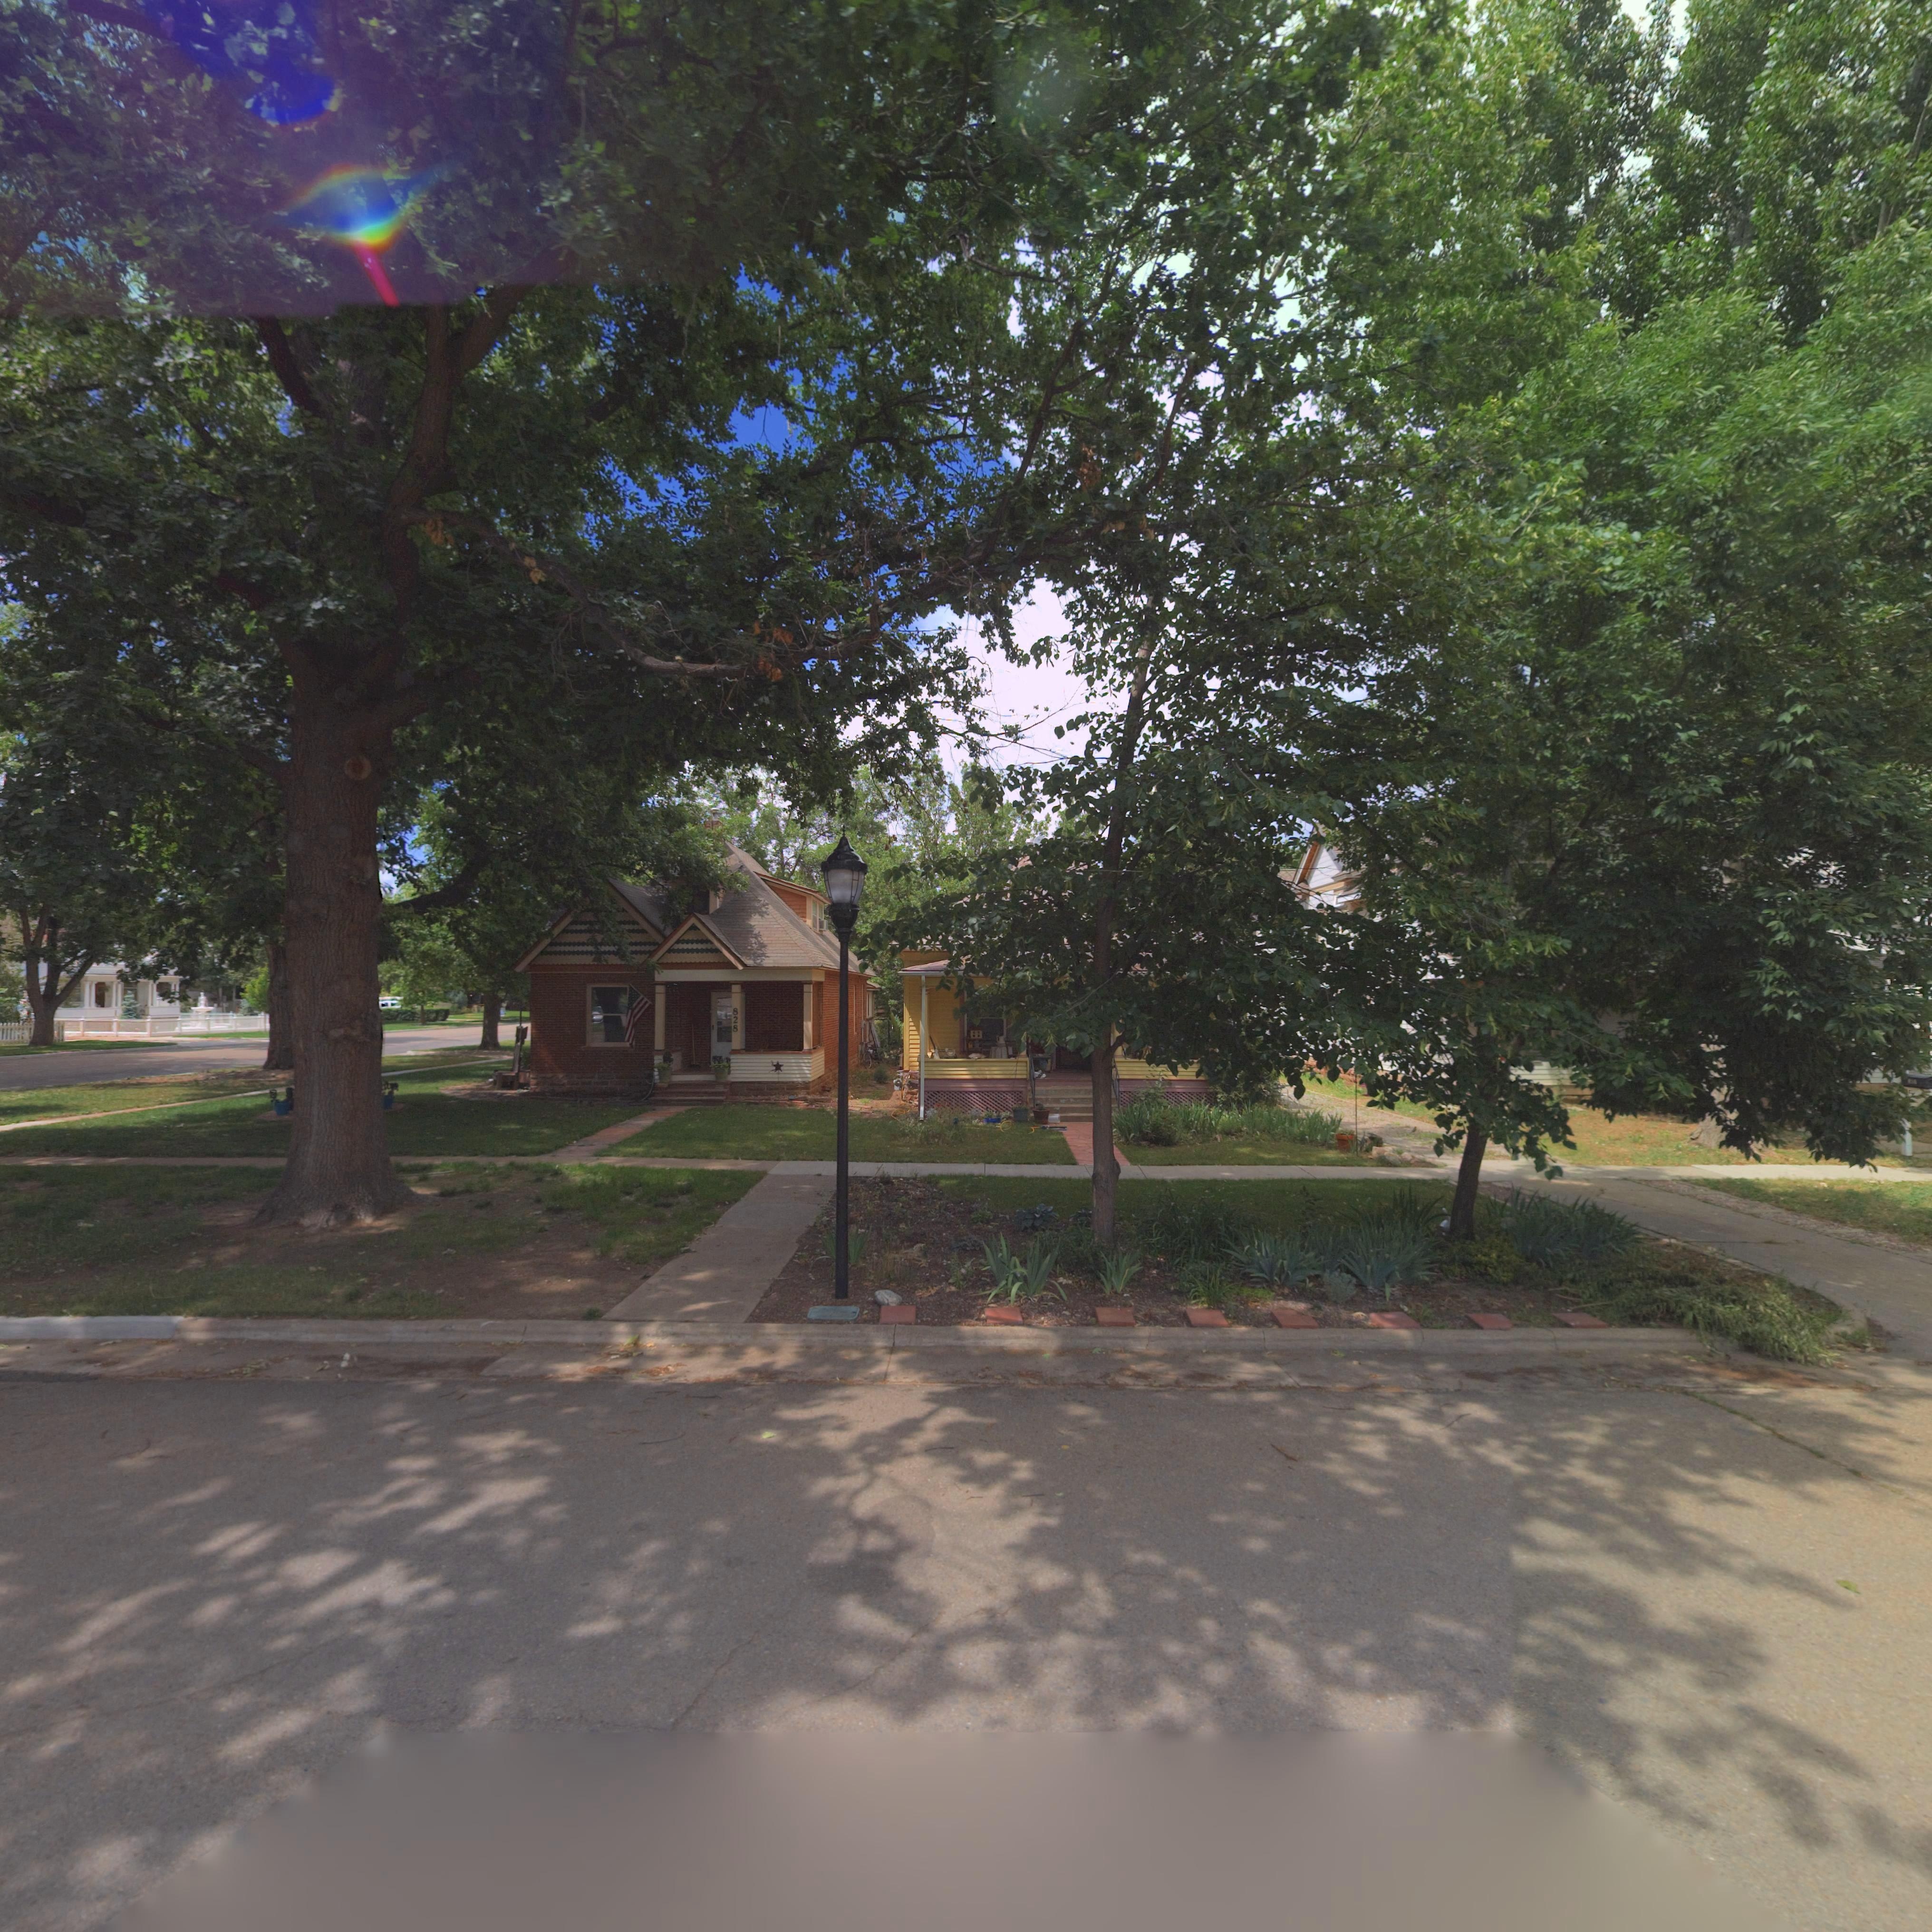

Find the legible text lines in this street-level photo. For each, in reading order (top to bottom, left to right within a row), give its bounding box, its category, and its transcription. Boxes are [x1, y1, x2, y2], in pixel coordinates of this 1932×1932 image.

[732, 1007, 739, 1033] StreetNumber: 828
[1907, 1078, 1917, 1084] StreetNumber: 826